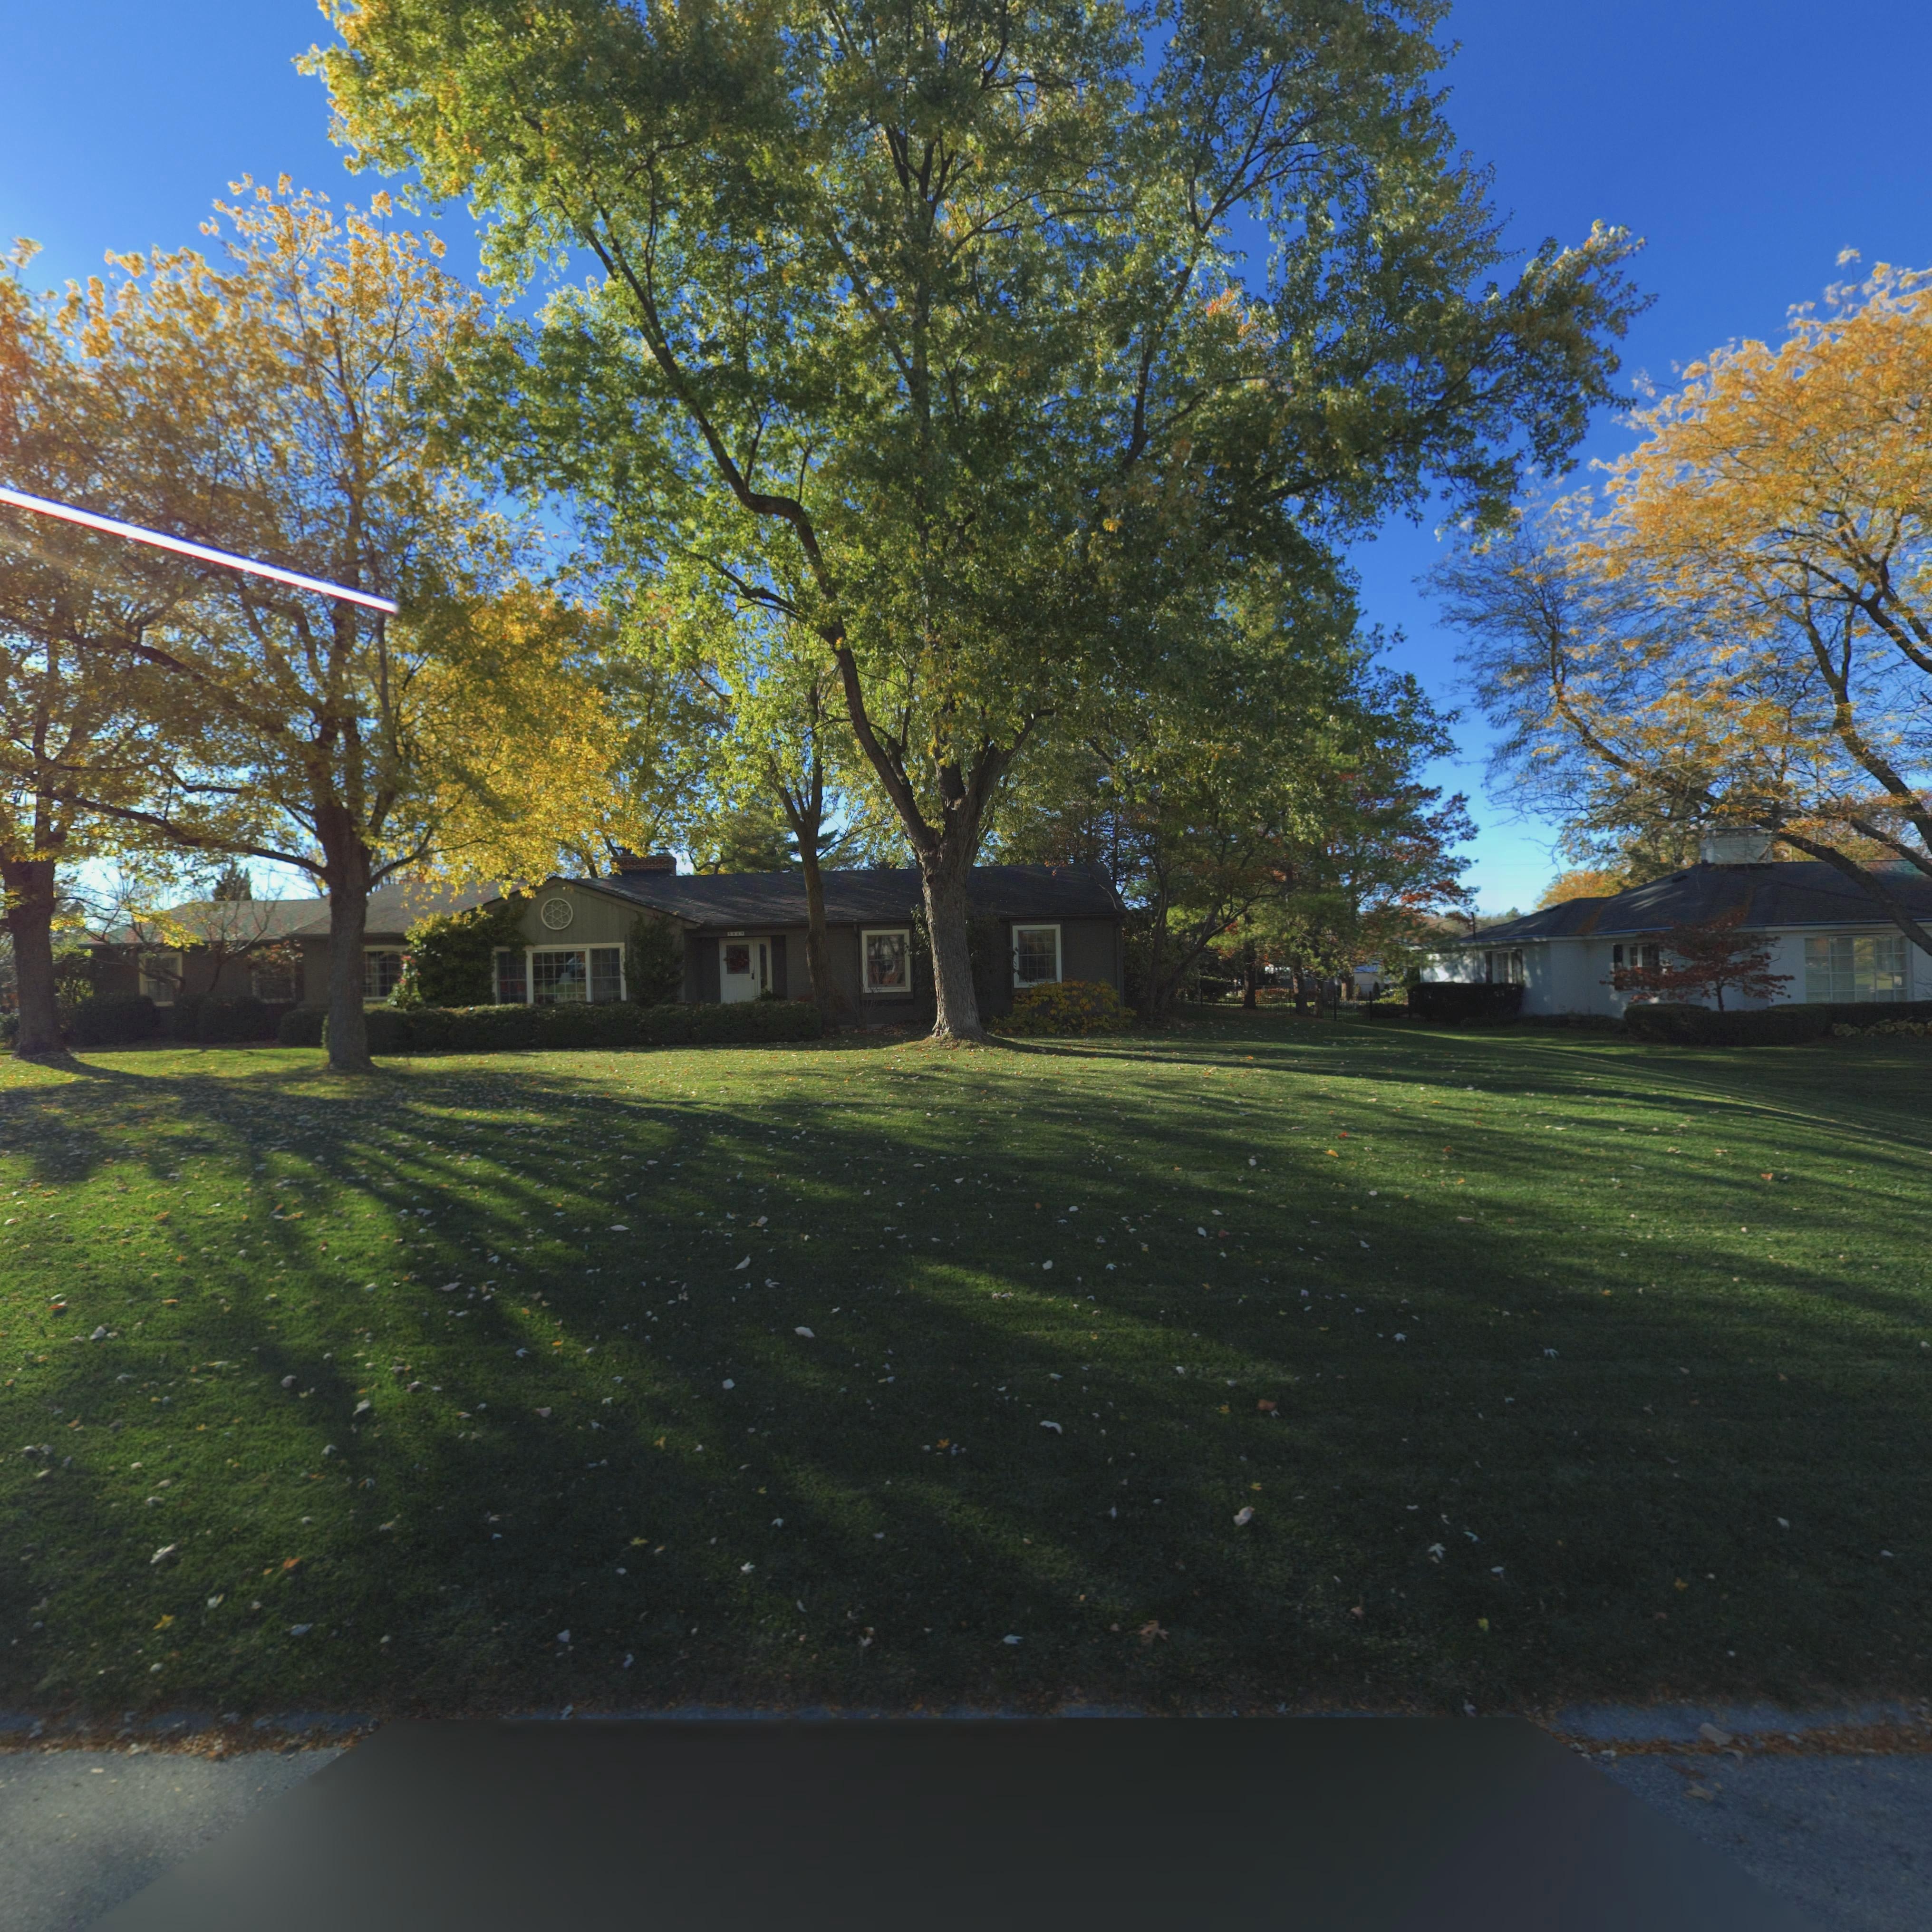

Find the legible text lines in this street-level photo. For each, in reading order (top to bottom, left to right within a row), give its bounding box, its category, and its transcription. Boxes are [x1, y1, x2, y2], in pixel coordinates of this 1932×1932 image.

[727, 931, 744, 937] StreetNumber: 5845